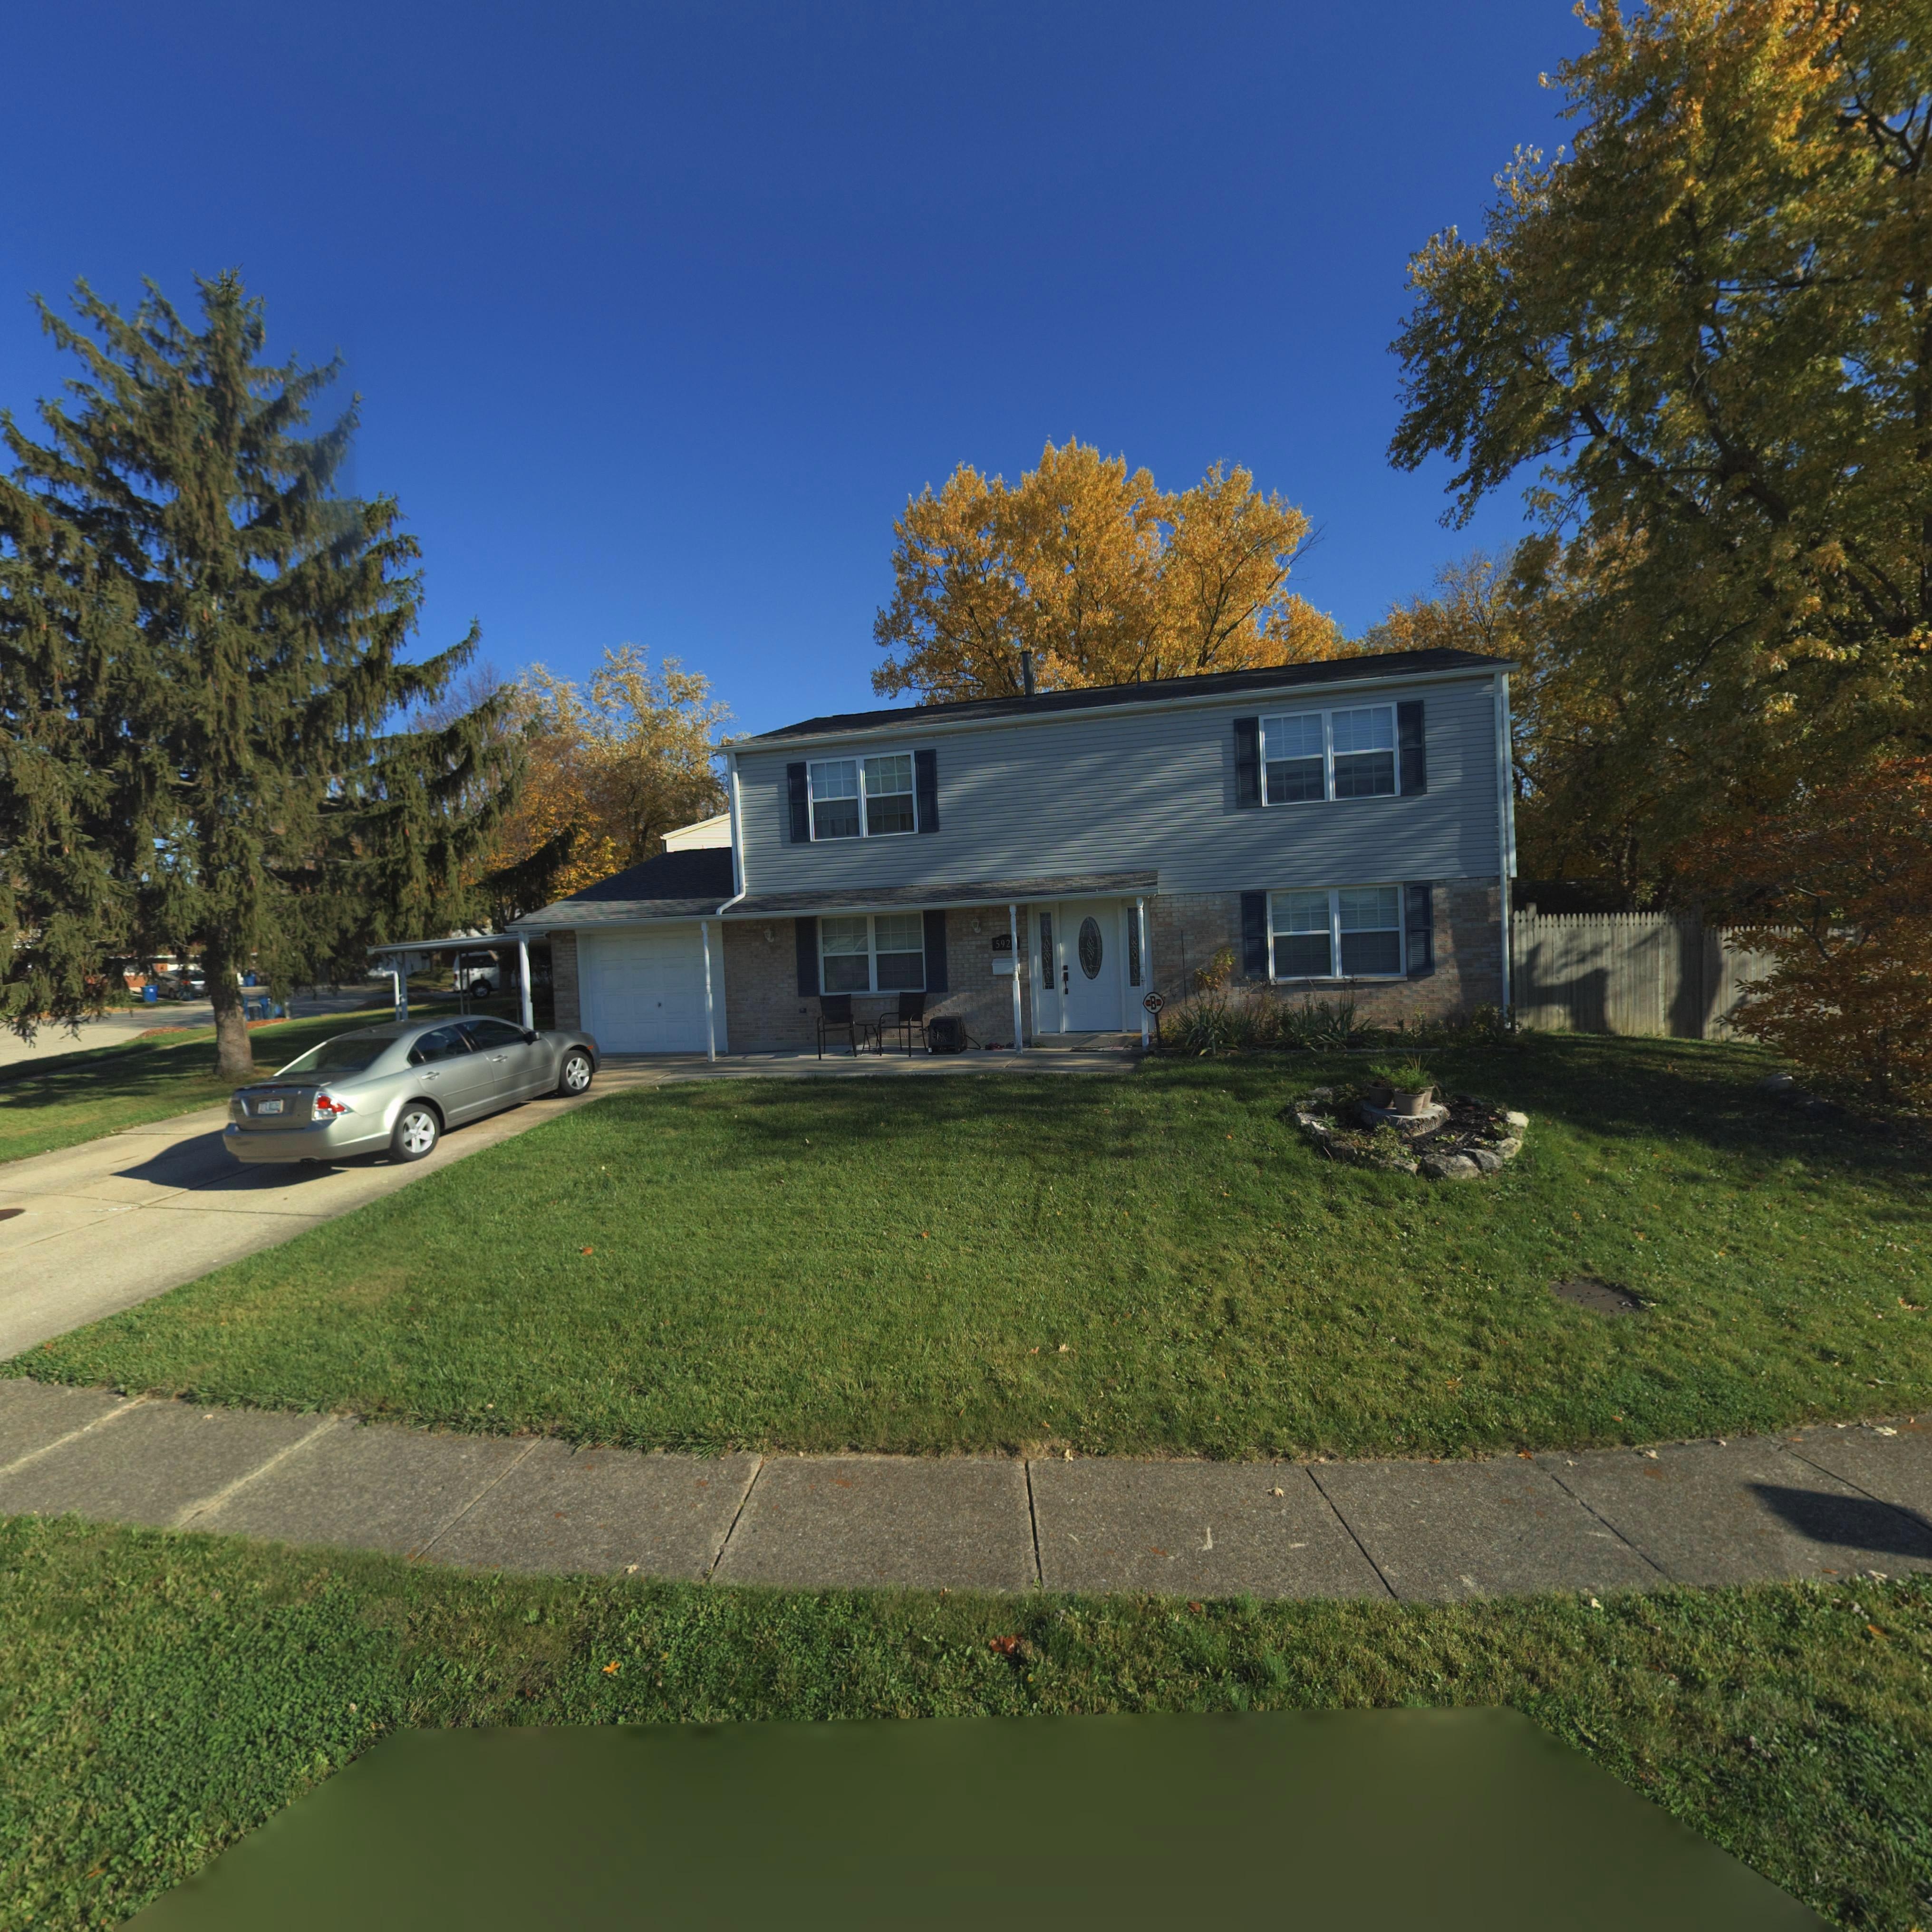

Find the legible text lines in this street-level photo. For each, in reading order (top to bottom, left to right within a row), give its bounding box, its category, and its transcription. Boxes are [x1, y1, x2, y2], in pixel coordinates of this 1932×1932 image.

[995, 938, 1012, 949] StreetNumber: 592